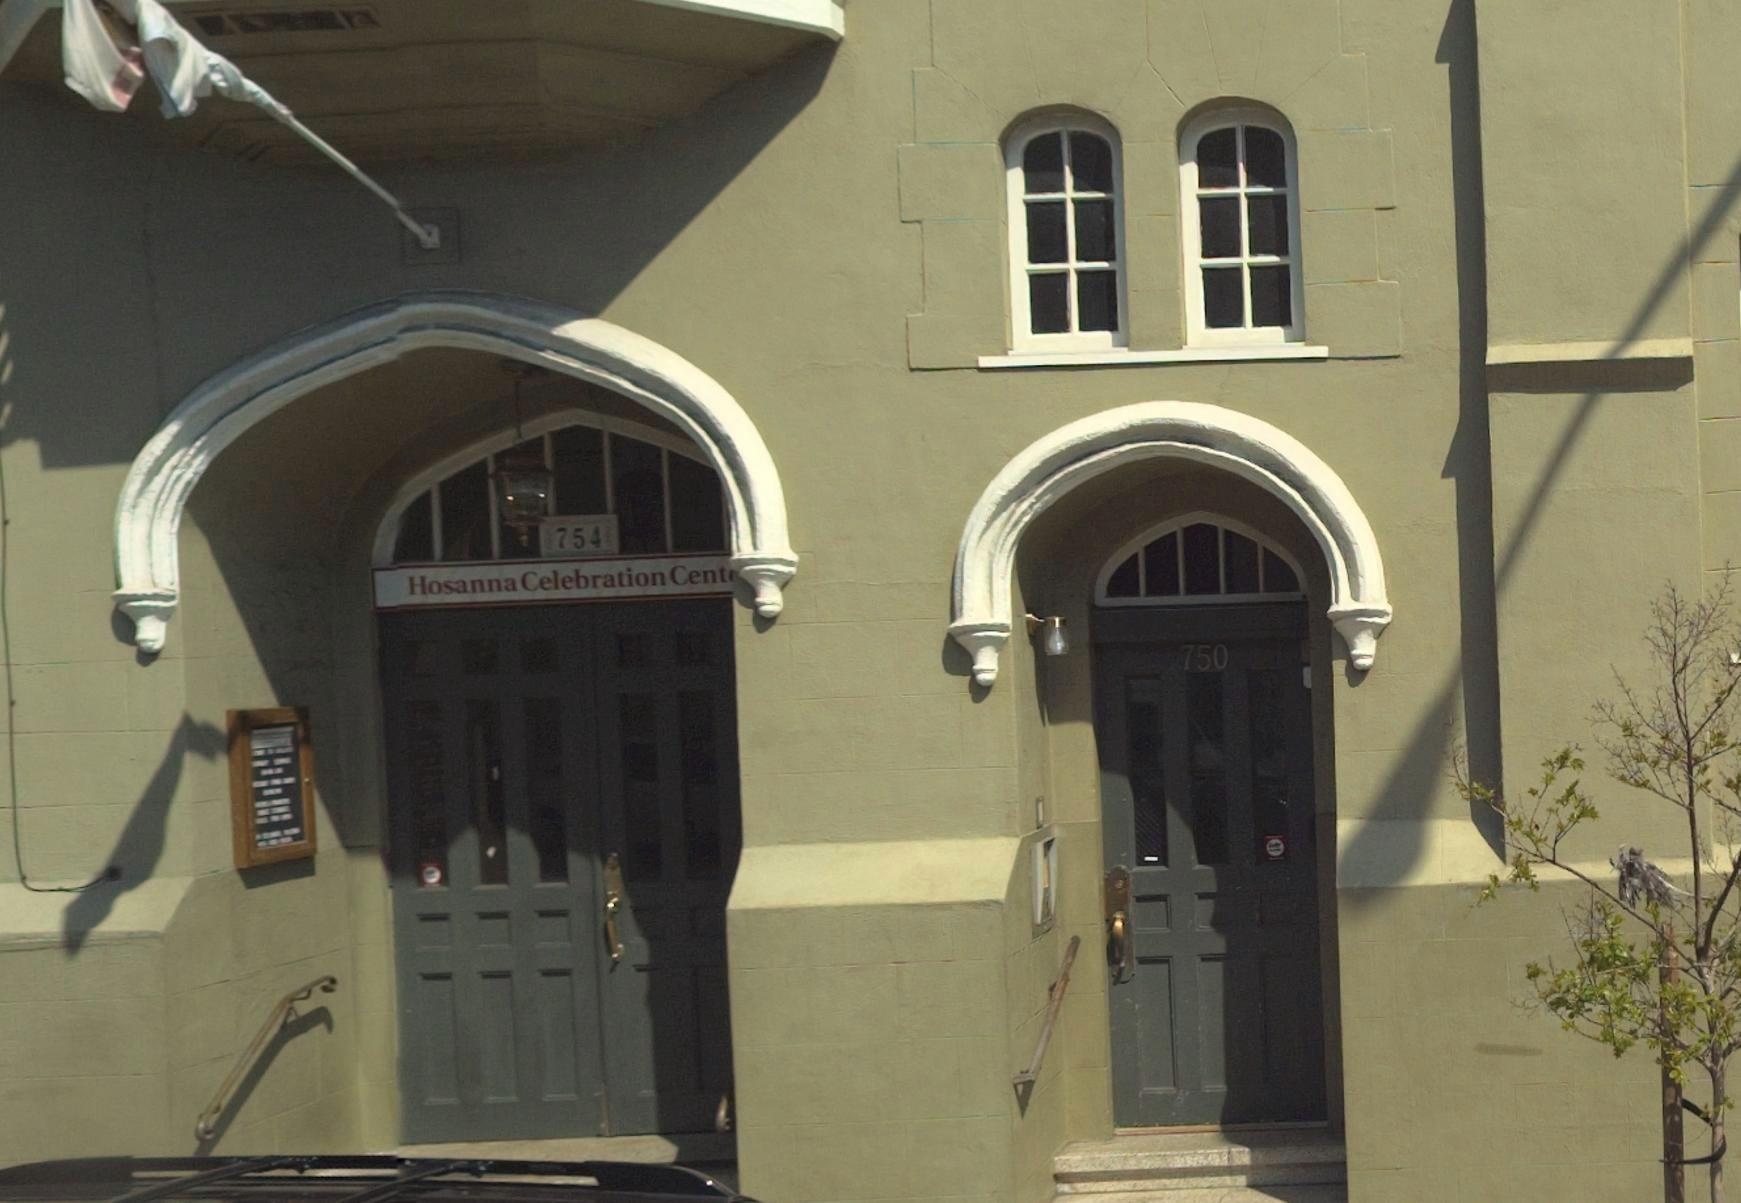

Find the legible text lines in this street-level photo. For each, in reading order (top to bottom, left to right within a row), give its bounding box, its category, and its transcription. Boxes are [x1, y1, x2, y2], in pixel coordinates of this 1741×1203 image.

[554, 523, 606, 553] StreetNumber: 754
[403, 562, 729, 598] BusinessName: Hosanna Celebration Cent
[1180, 642, 1231, 673] StreetNumber: 750